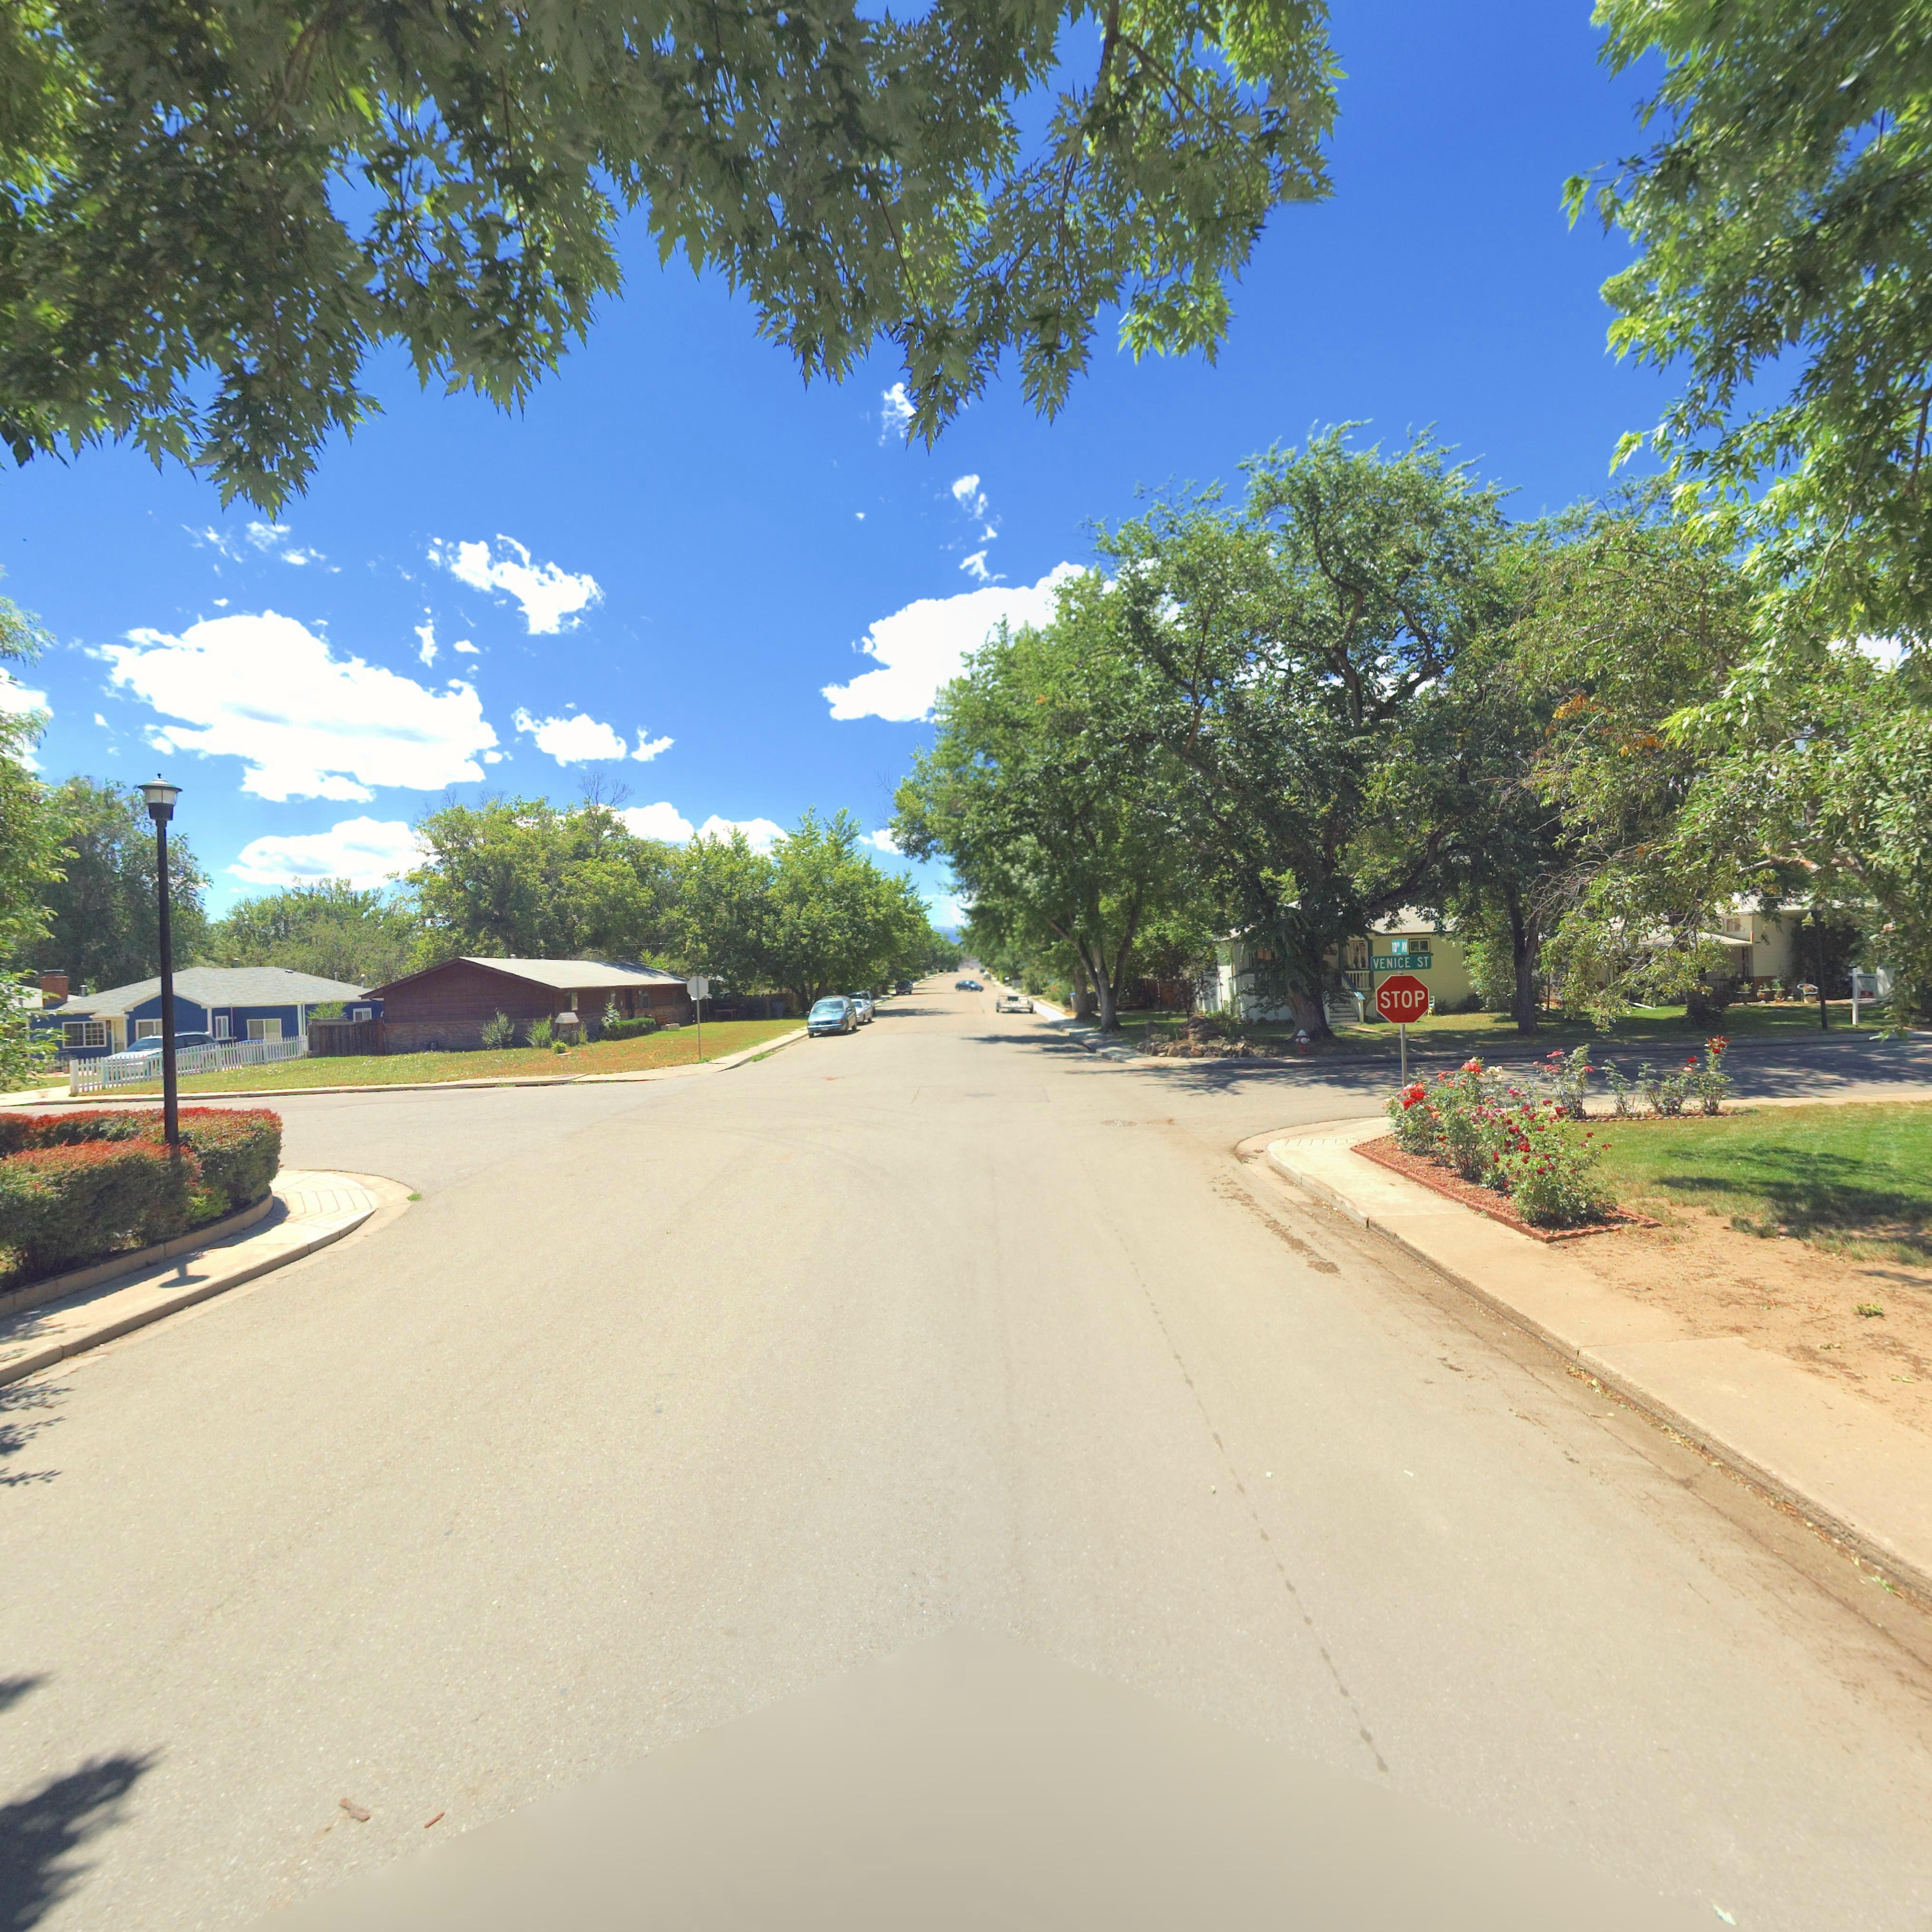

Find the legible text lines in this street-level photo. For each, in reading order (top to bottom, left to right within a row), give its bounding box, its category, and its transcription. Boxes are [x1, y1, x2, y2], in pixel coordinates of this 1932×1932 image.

[1391, 941, 1407, 952] StreetName: 10TH AV
[1372, 956, 1429, 969] StreetName: VENICE ST